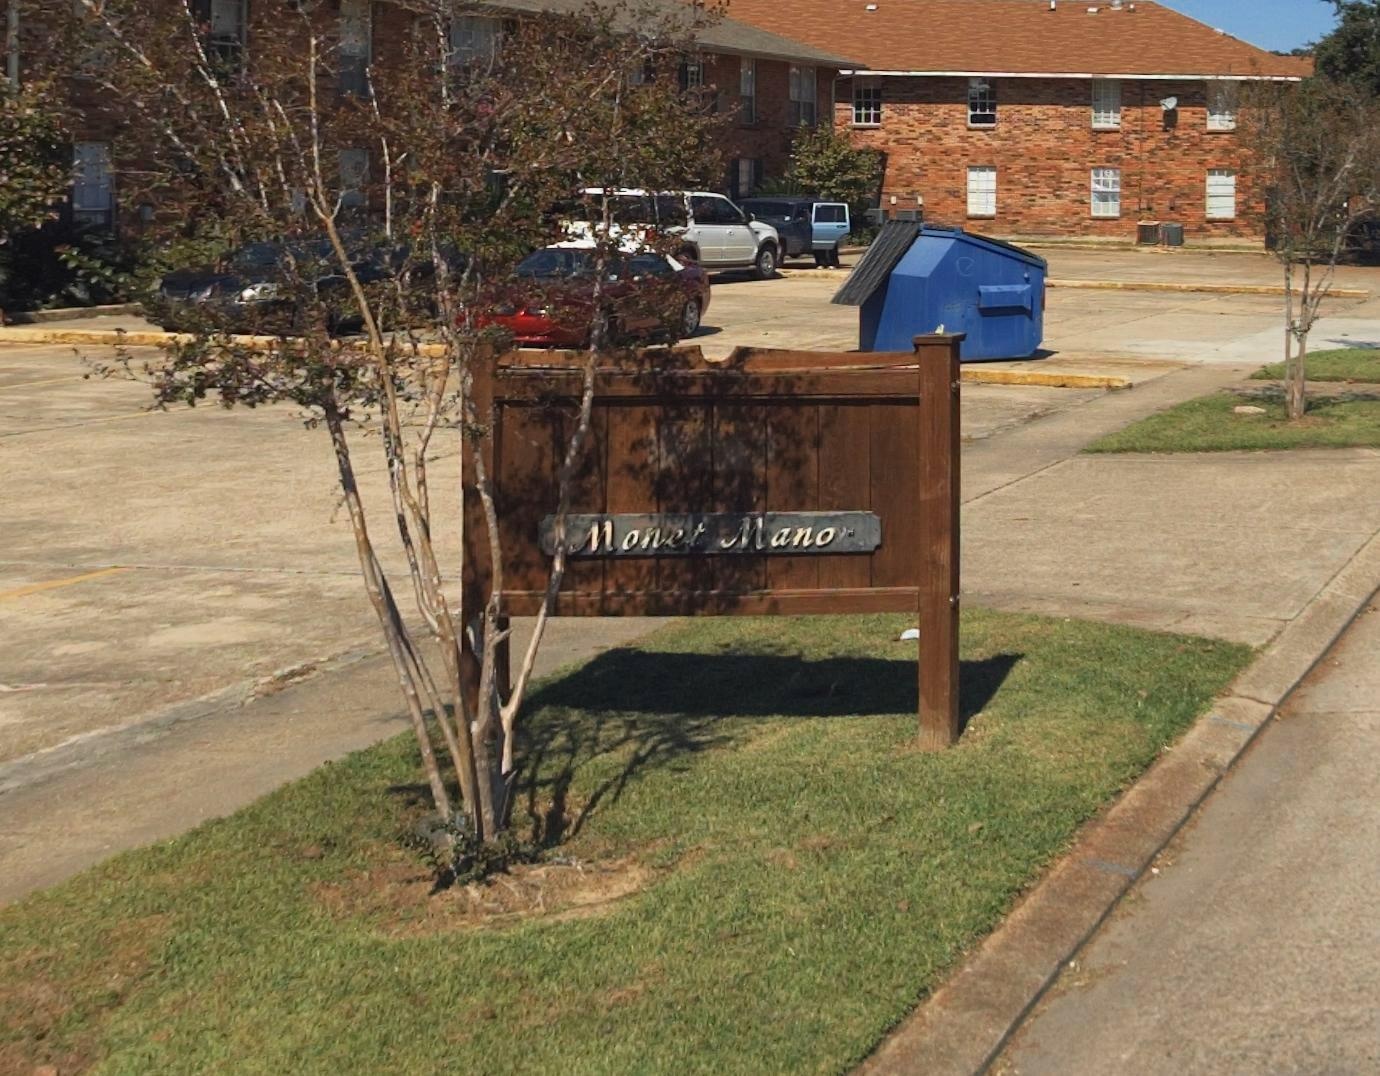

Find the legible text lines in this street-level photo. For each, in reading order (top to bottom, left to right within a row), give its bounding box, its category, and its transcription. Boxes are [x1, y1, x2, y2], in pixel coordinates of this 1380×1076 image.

[953, 254, 980, 281] None: e
[559, 512, 862, 558] BusinessName: Monet Manor